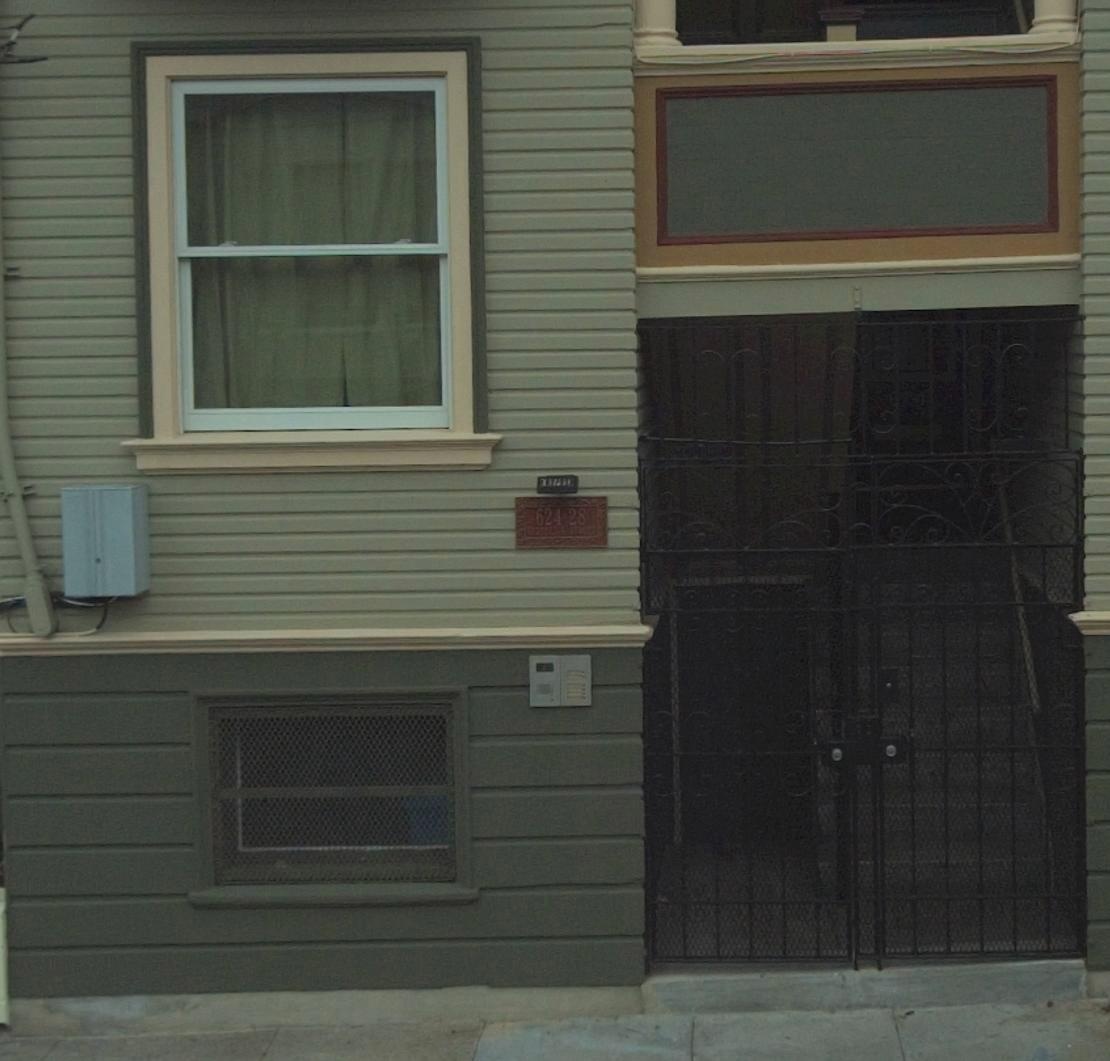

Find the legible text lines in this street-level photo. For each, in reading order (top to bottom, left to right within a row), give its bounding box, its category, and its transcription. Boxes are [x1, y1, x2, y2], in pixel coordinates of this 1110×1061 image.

[535, 507, 587, 527] StreetNumber: 624-28